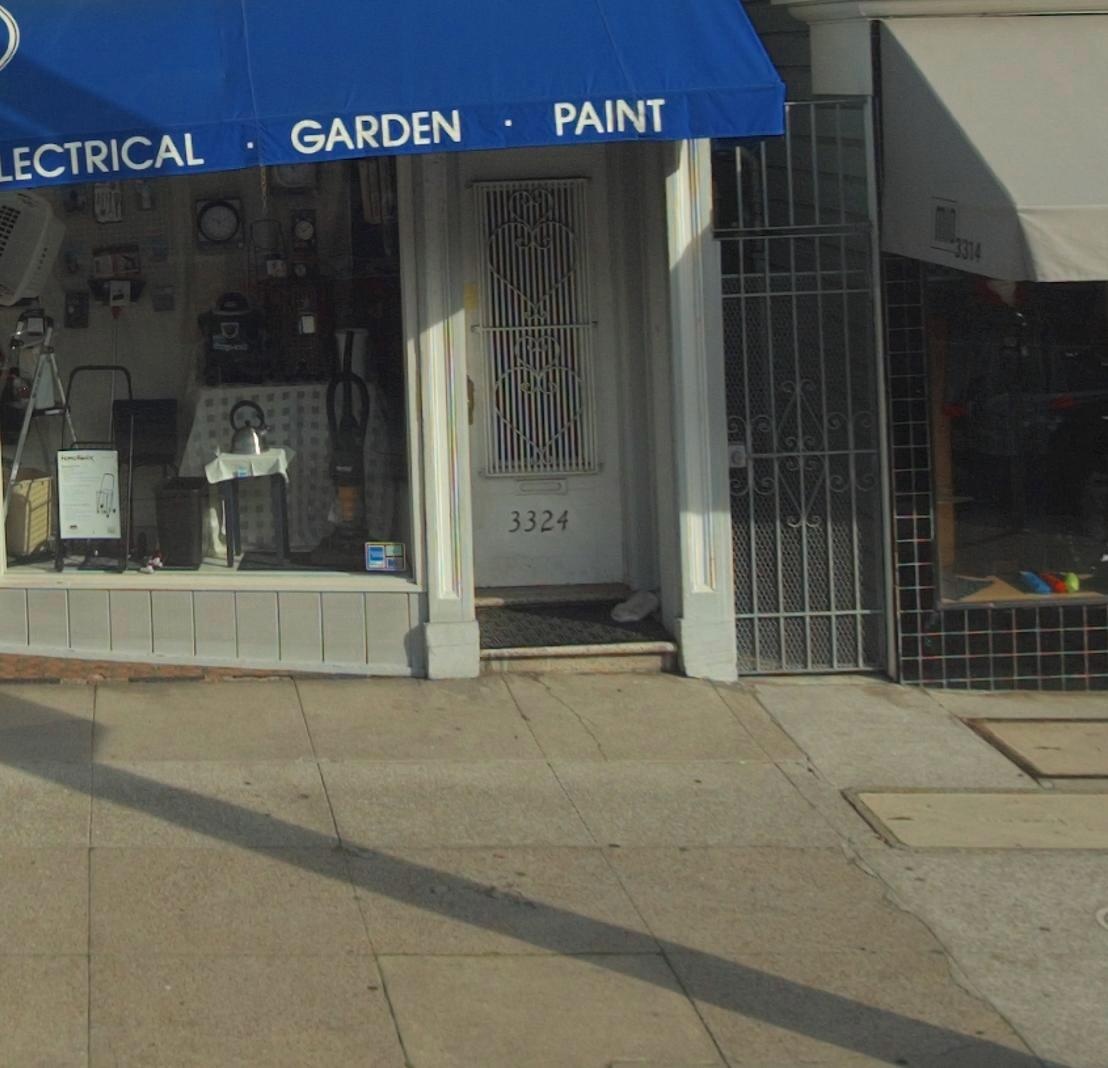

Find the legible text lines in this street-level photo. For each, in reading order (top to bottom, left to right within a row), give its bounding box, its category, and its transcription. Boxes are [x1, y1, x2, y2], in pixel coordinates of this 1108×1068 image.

[7, 126, 210, 185] None: ECTRICAL
[286, 105, 465, 159] None: GARDEN
[550, 94, 669, 140] None: PAINT
[506, 507, 571, 535] StreetNumber: 3324